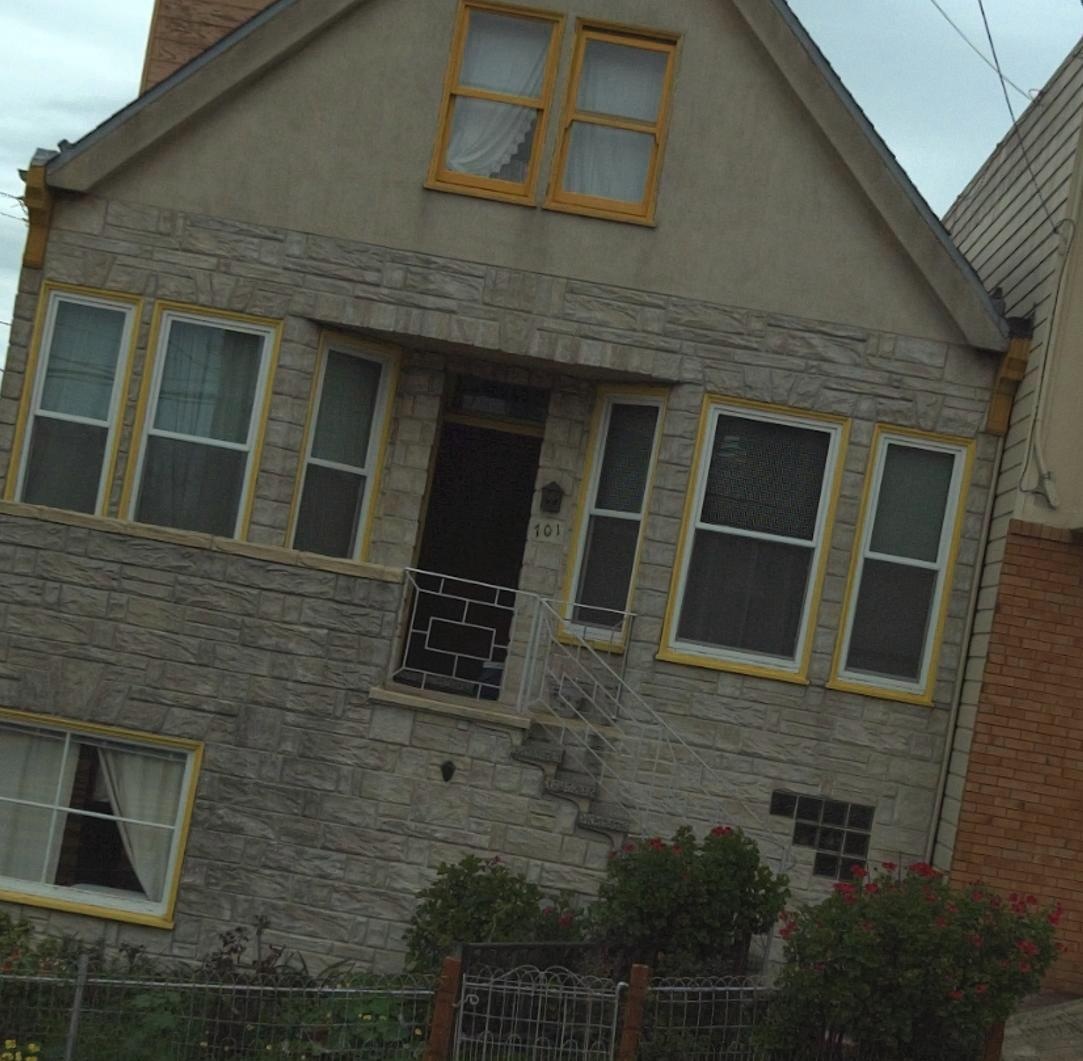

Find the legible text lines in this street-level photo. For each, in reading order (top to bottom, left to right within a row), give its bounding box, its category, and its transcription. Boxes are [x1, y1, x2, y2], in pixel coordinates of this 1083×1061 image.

[533, 522, 562, 539] StreetNumber: 101